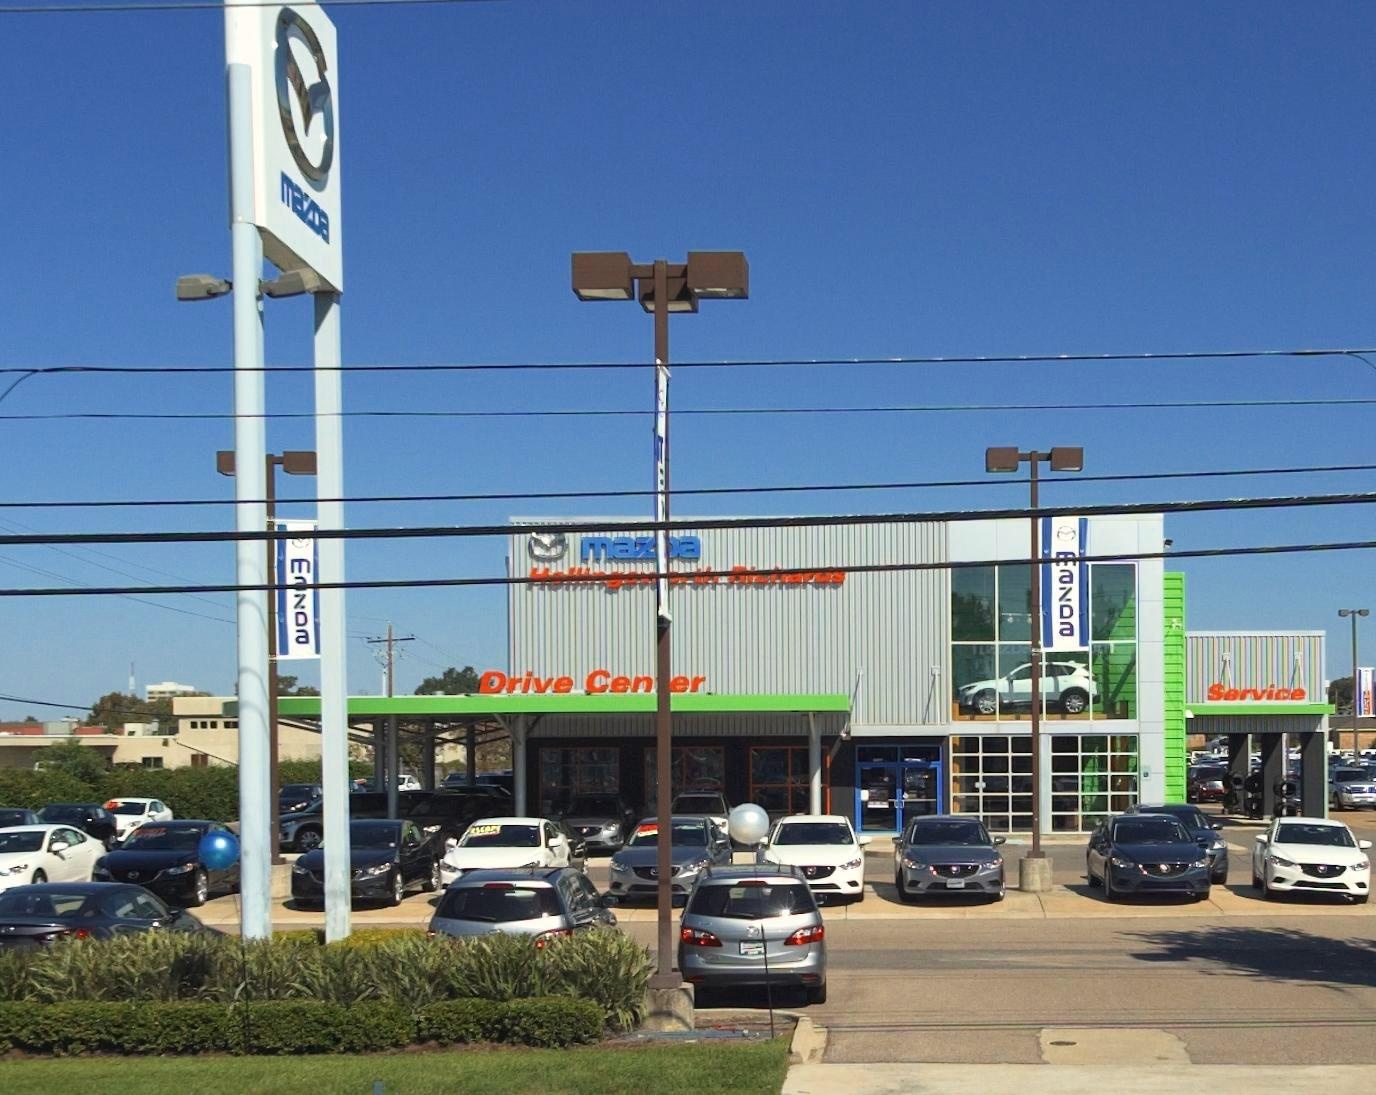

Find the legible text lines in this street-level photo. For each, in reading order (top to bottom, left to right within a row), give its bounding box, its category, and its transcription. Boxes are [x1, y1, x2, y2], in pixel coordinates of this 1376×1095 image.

[277, 163, 333, 249] BusinessName: mazDa
[577, 534, 703, 562] BusinessName: maz*a
[286, 554, 313, 647] BusinessName: m*zDa
[1057, 567, 1076, 638] BusinessName: azDa
[476, 667, 709, 696] None: Drive Cen*er
[1204, 680, 1309, 704] None: Service